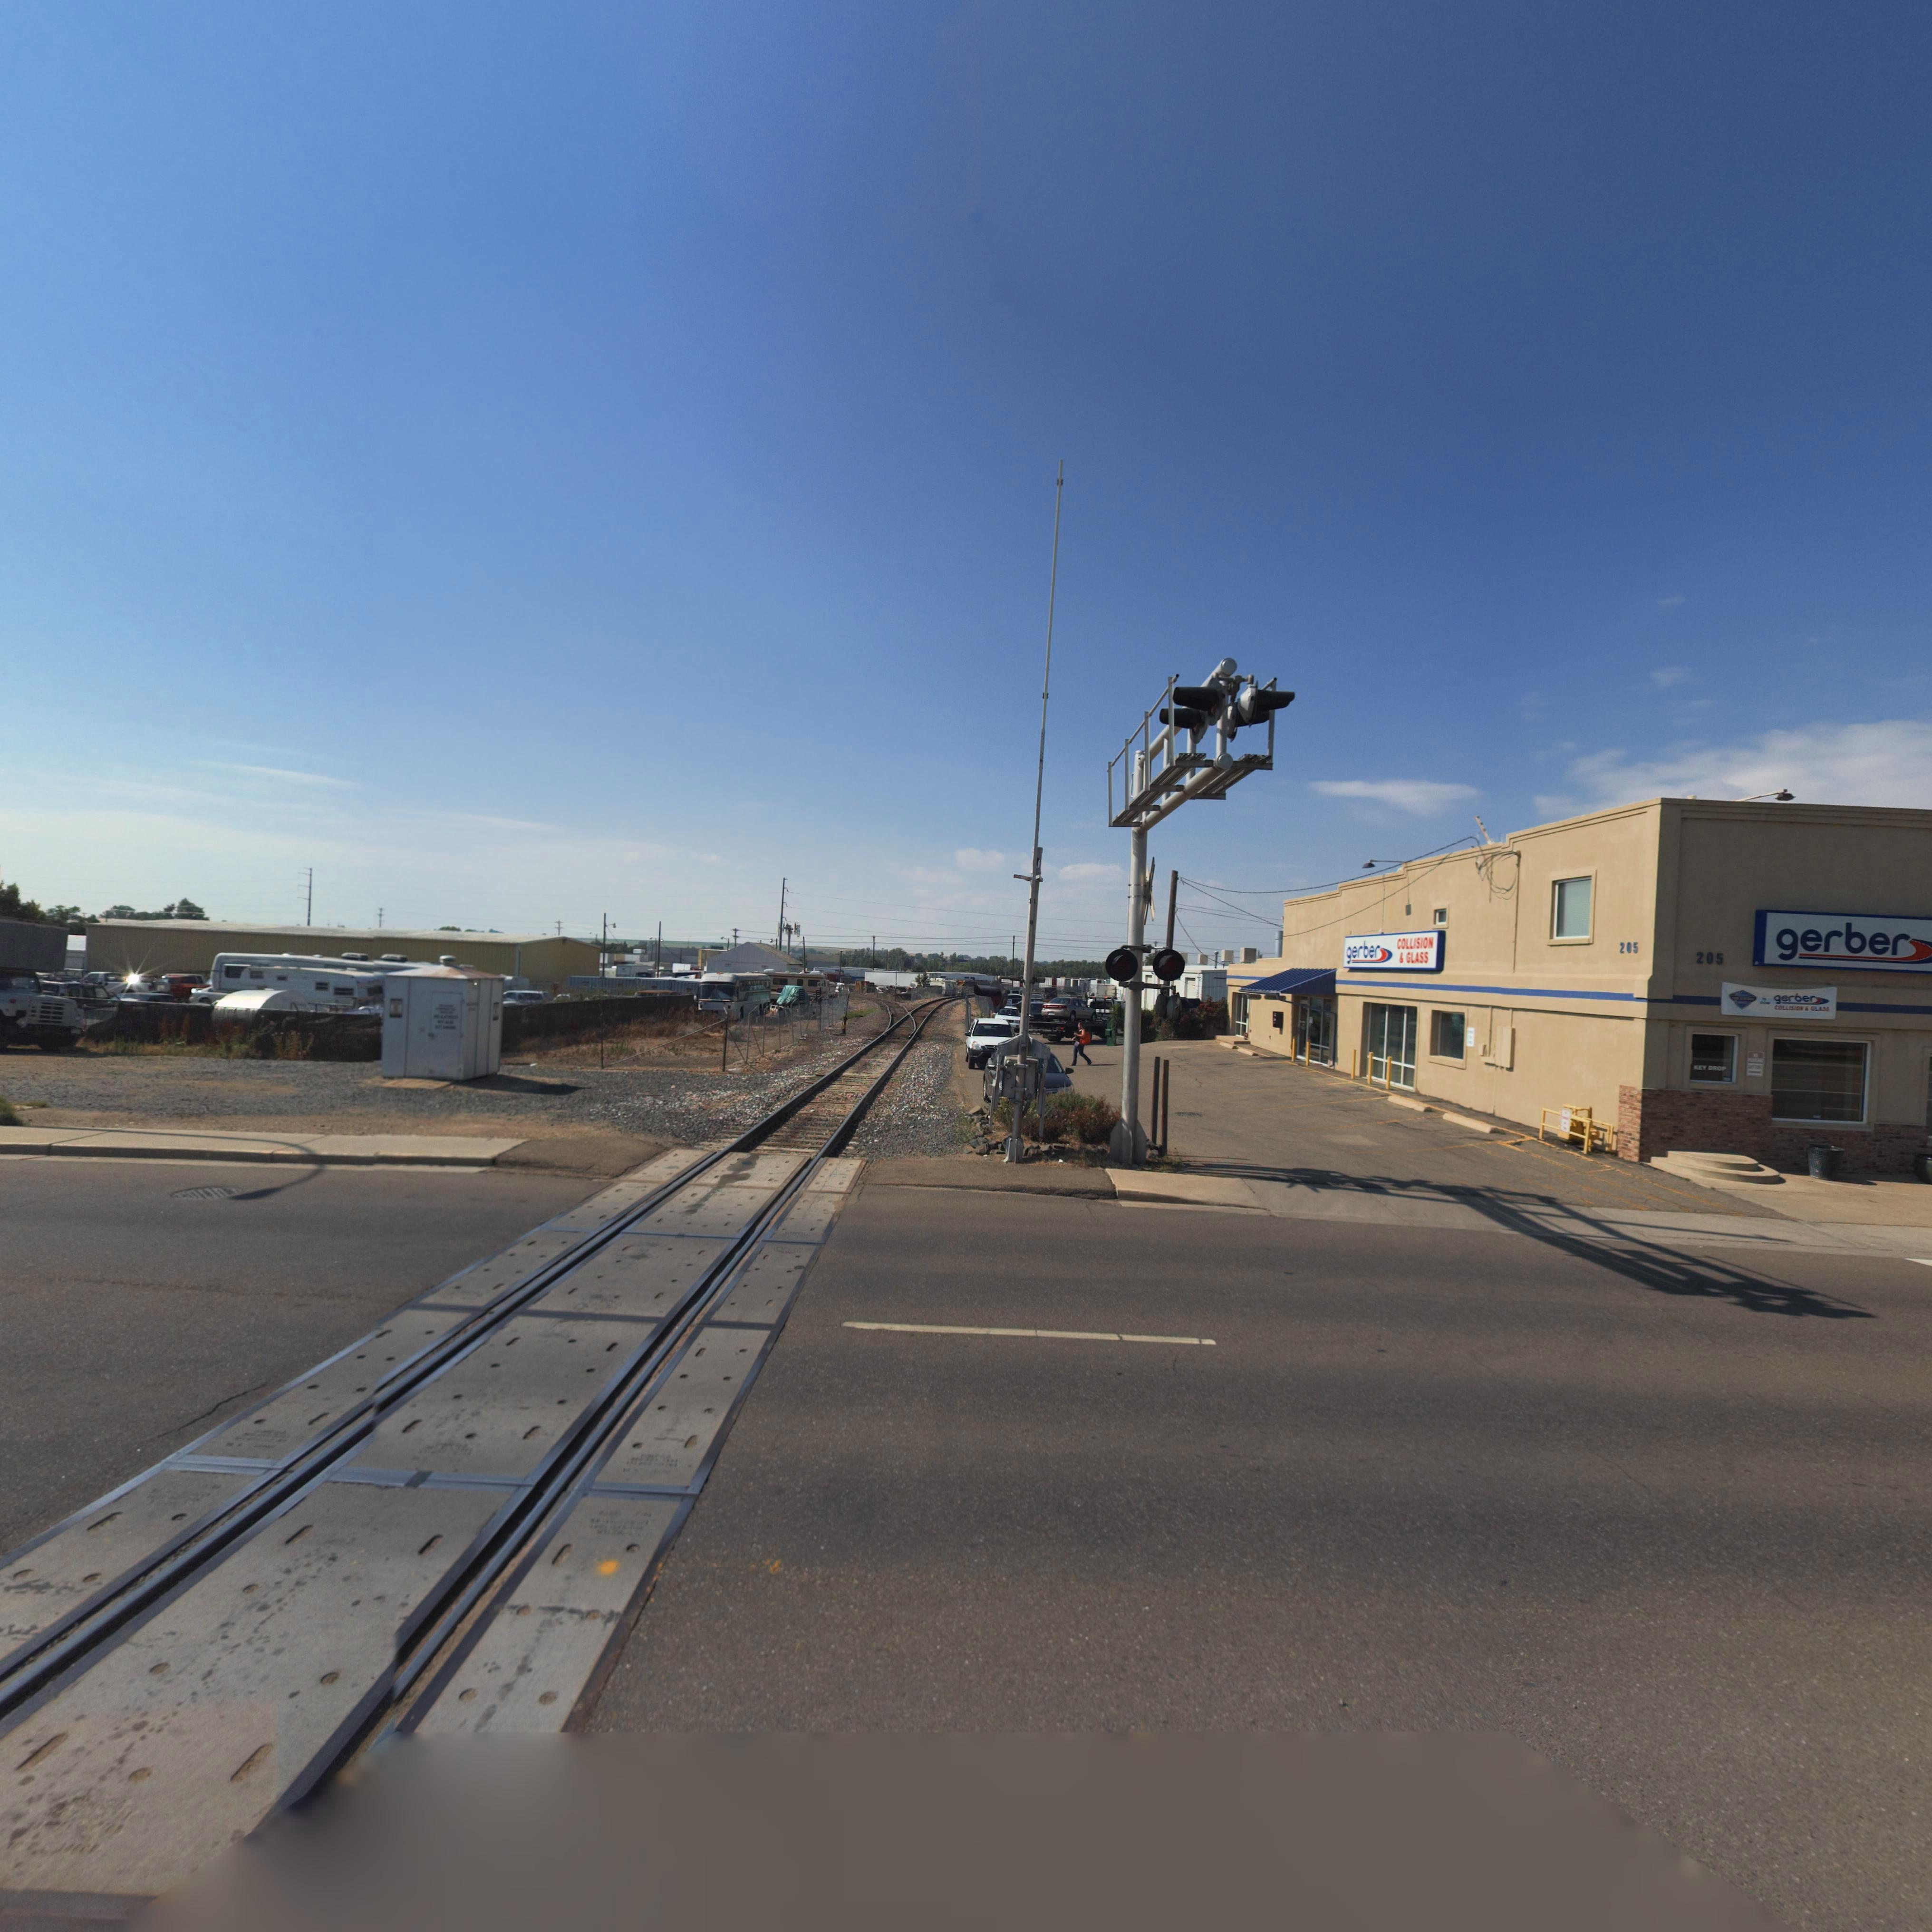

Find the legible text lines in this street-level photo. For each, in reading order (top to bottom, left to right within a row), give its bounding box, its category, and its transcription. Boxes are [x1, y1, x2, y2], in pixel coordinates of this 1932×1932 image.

[1346, 940, 1381, 964] BusinessName: gerber
[1398, 950, 1430, 964] BusinessName: * GLASS
[1396, 936, 1434, 950] BusinessName: COLLISION
[1618, 941, 1639, 954] StreetNumber: 205
[1695, 950, 1724, 966] StreetNumber: 205
[1775, 921, 1912, 961] BusinessName: gerber
[1773, 992, 1816, 1005] BusinessName: gerber
[1774, 1004, 1829, 1012] BusinessName: COLLISION * GLASS